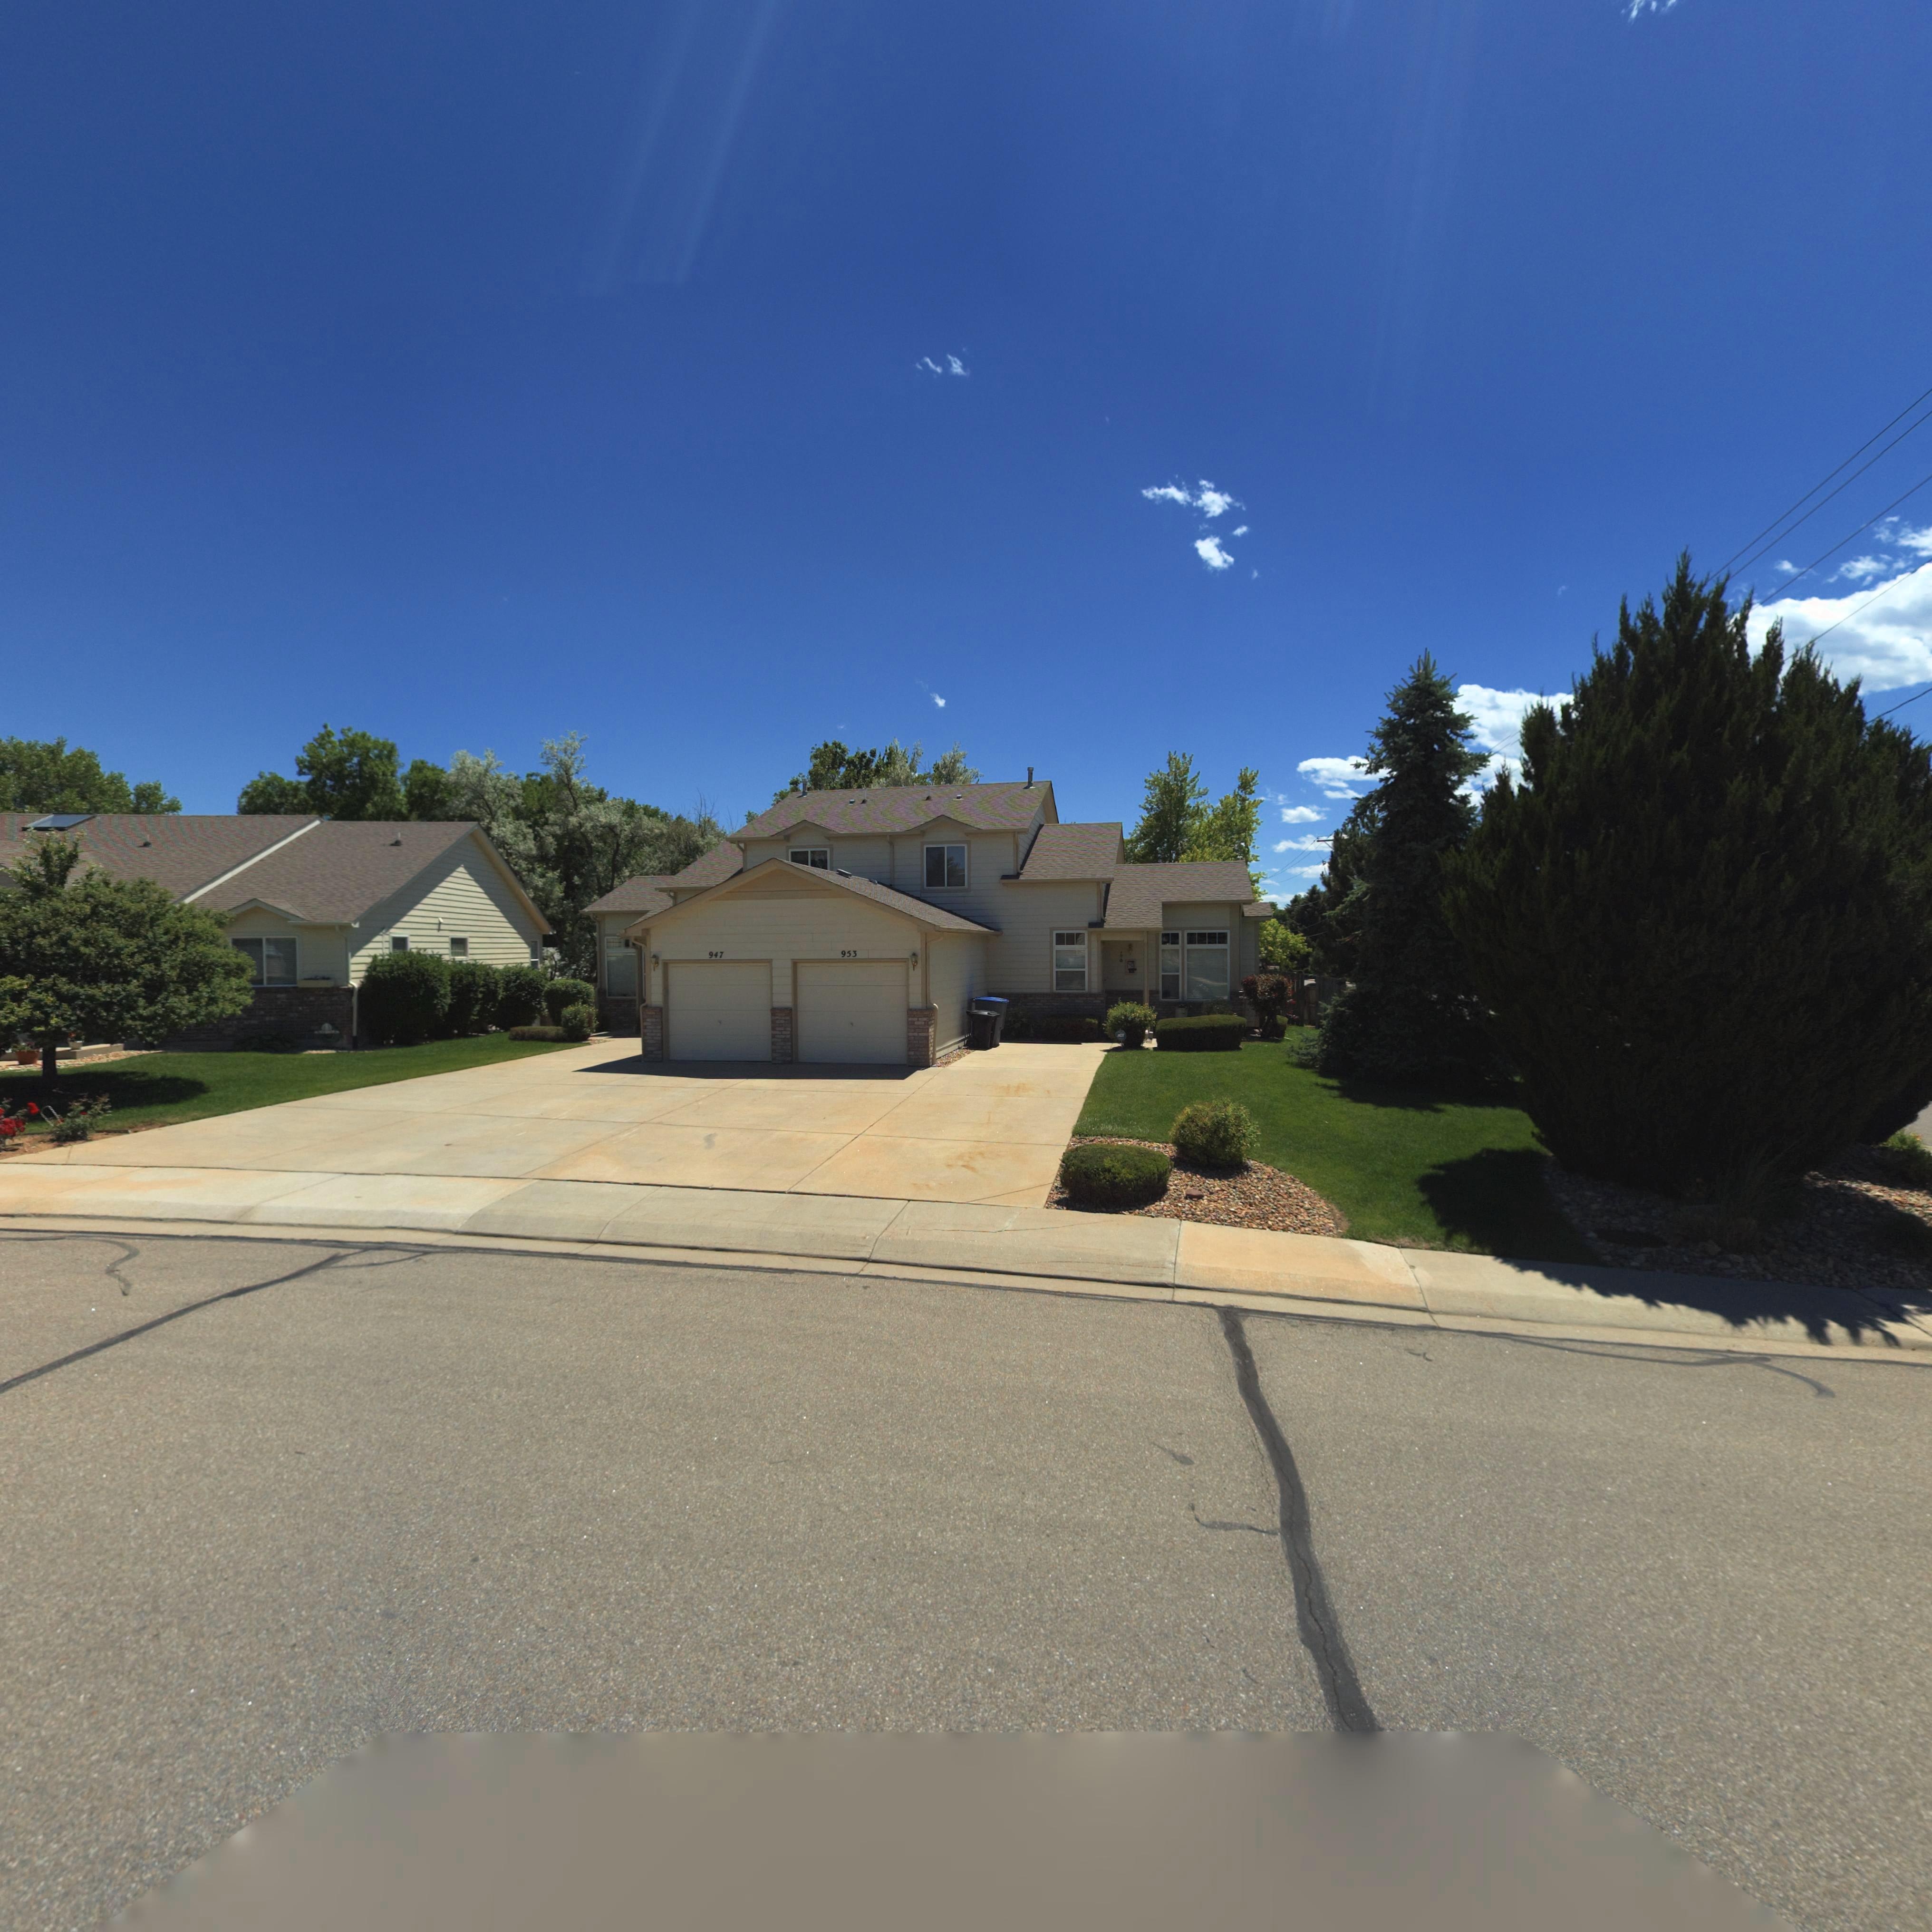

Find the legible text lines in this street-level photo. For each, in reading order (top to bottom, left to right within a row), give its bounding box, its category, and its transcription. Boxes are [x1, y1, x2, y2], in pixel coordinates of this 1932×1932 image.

[708, 951, 724, 959] StreetNumber: 947
[840, 949, 857, 958] StreetNumber: 953